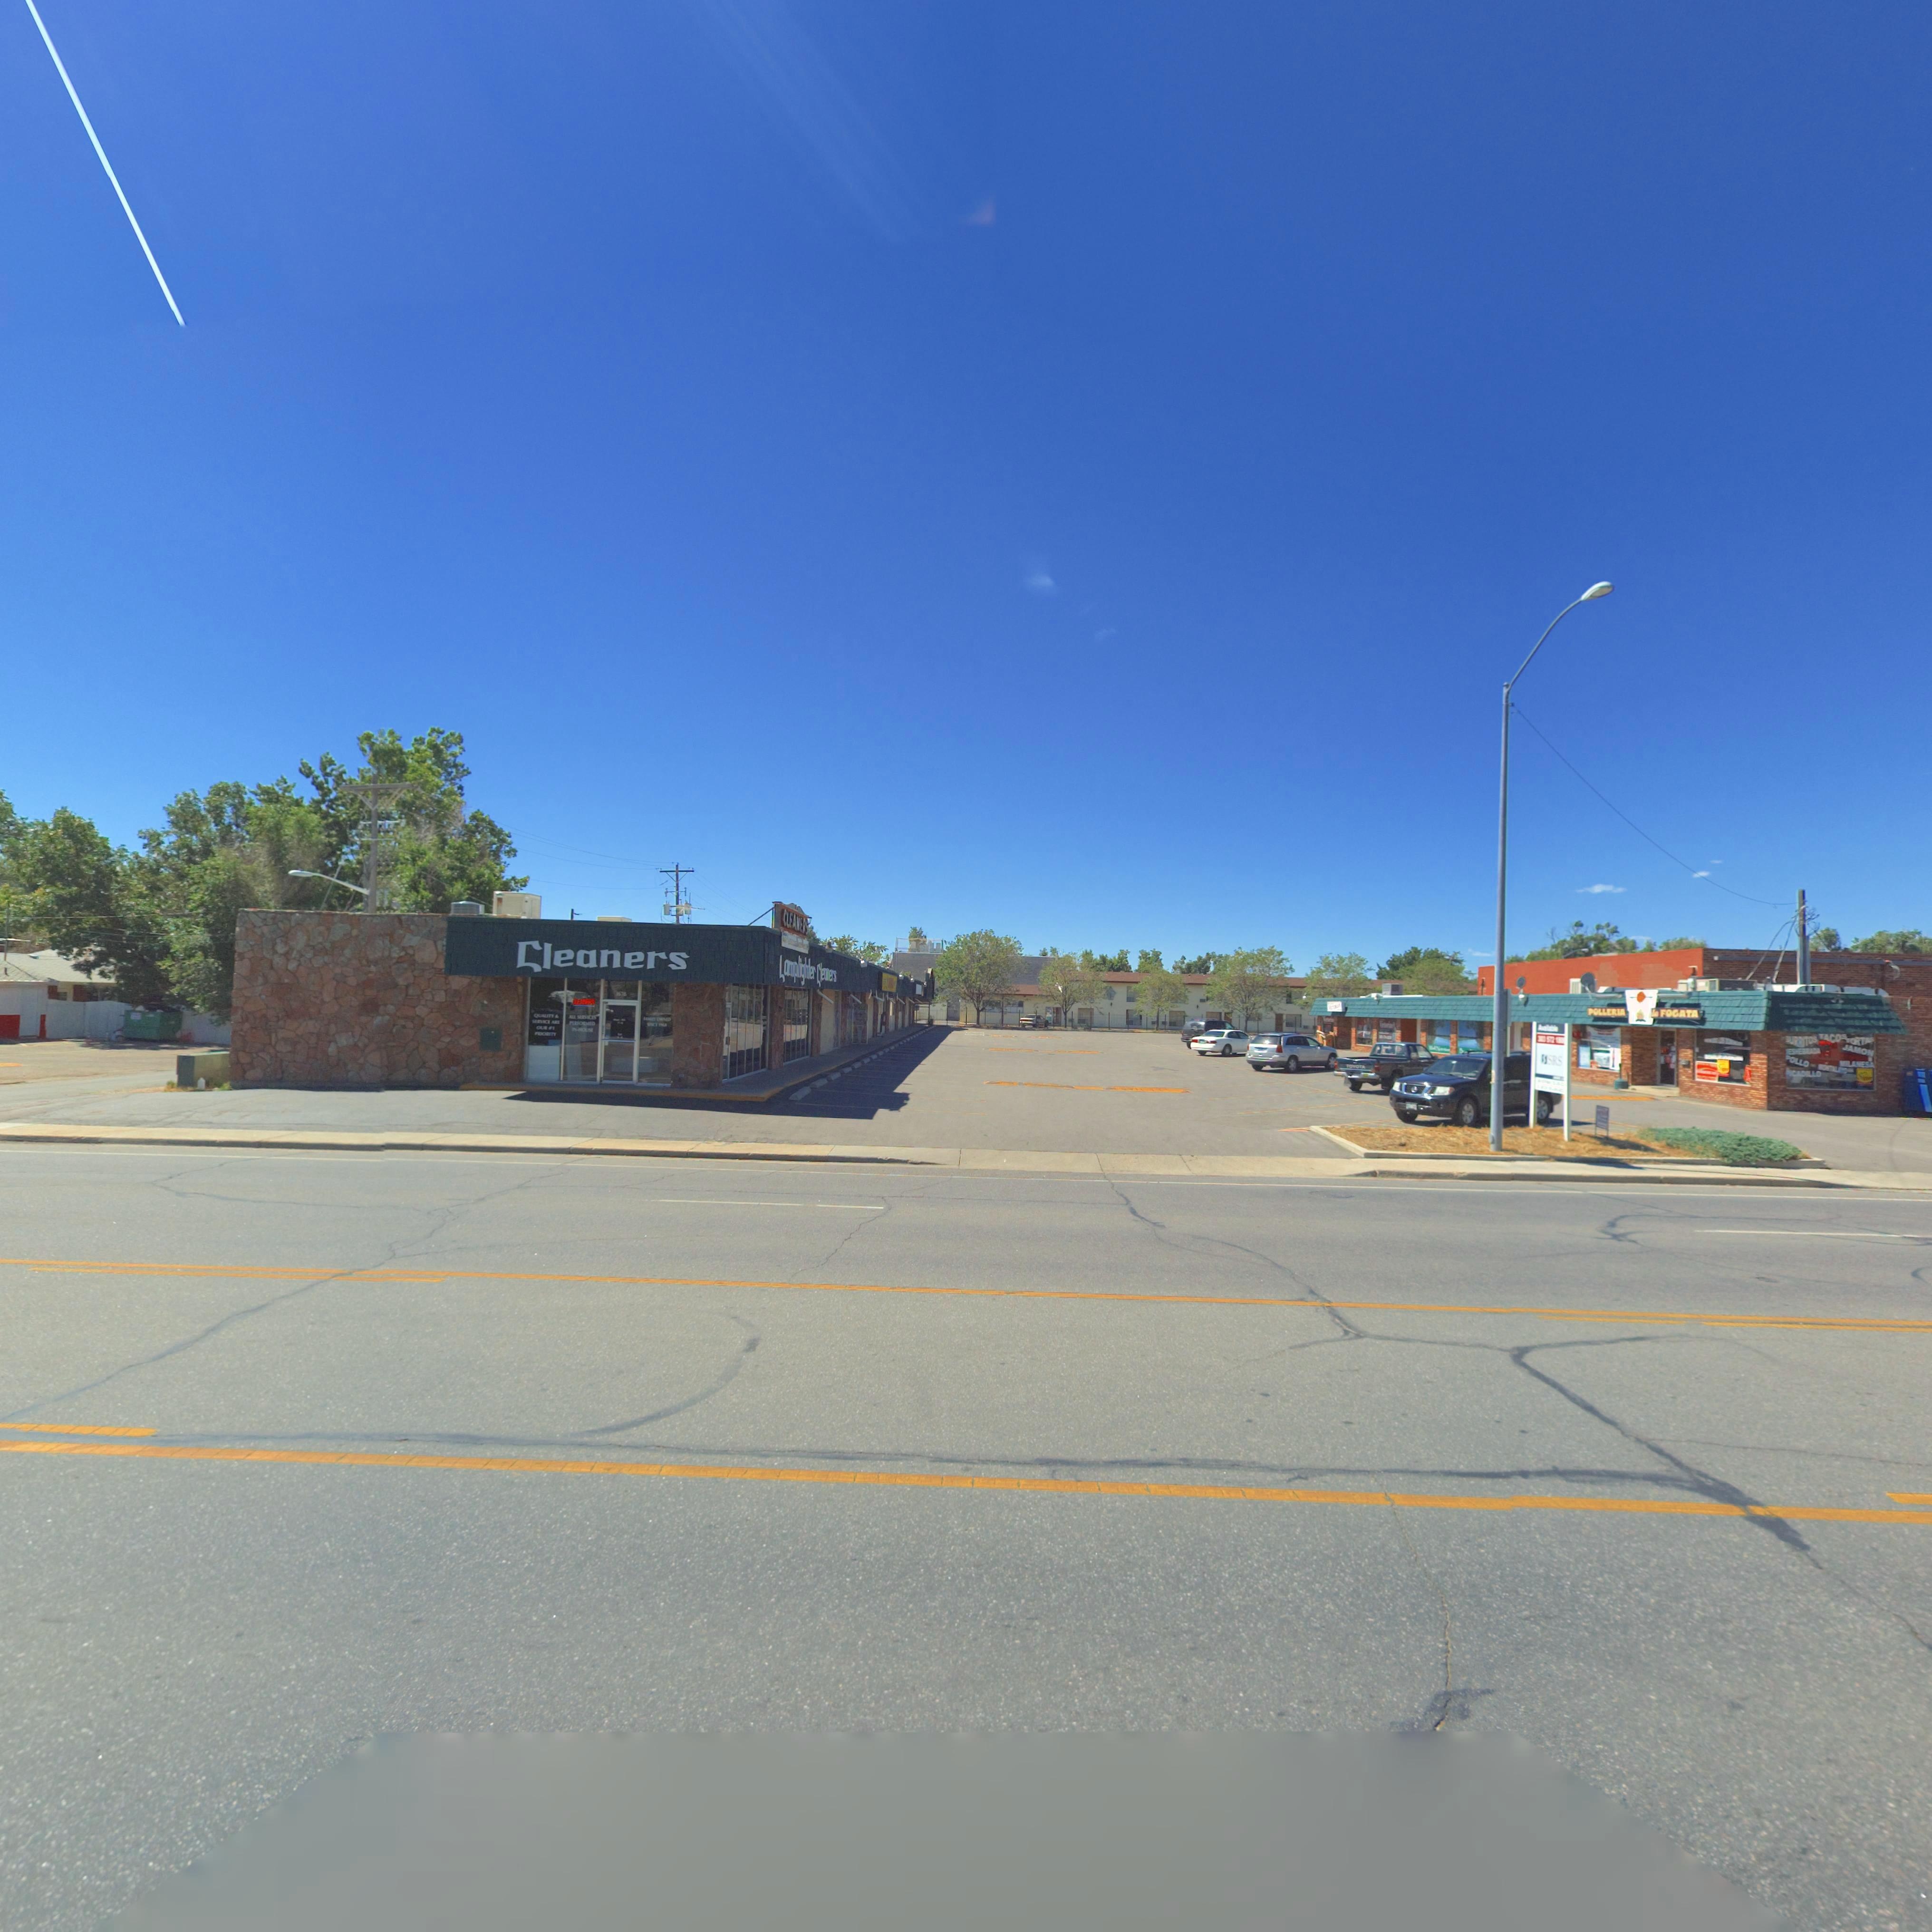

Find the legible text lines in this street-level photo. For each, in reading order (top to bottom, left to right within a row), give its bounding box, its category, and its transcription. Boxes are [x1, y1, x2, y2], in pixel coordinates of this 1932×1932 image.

[517, 940, 689, 972] BusinessName: Cleaners
[779, 954, 837, 986] BusinessName: Lamplinghter Cleaners
[1586, 1007, 1626, 1016] BusinessName: POLLERIA
[1650, 1008, 1699, 1018] BusinessName: La FOGATA